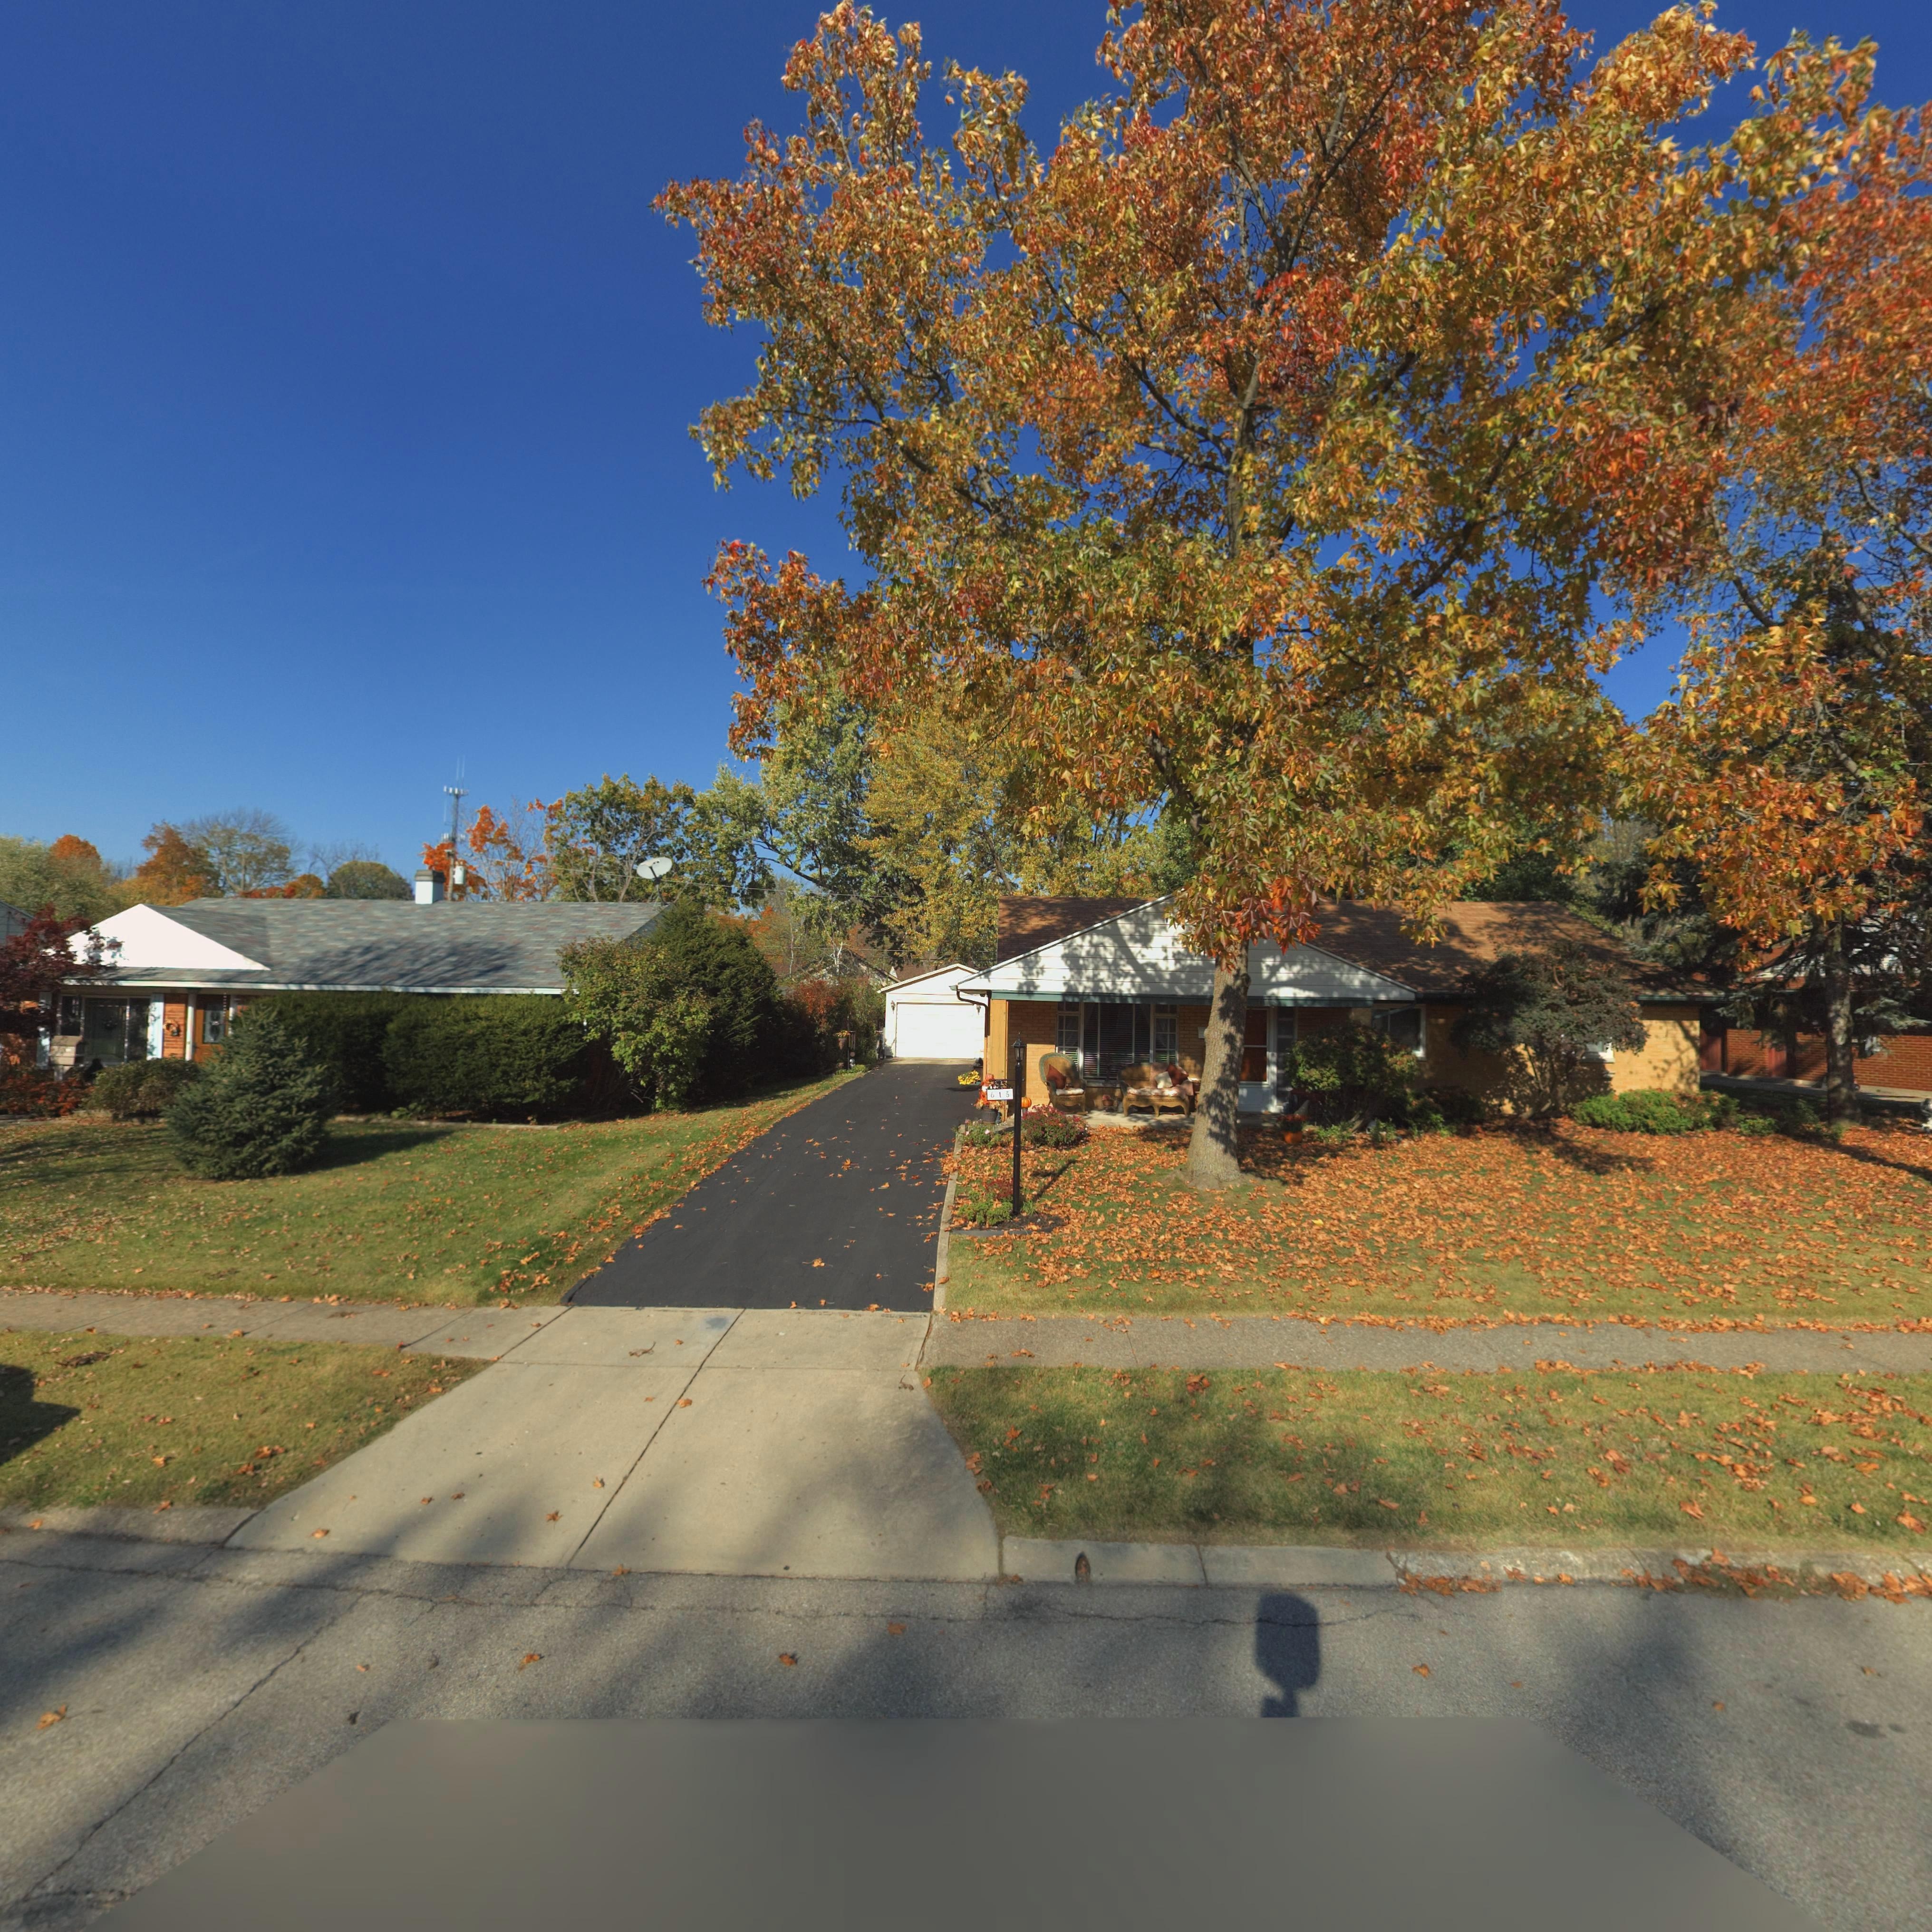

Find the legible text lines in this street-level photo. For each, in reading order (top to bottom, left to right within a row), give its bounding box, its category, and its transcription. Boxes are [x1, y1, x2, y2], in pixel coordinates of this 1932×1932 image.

[1256, 998, 1277, 1007] StreetNumber: 615
[990, 1091, 1010, 1098] StreetNumber: 615